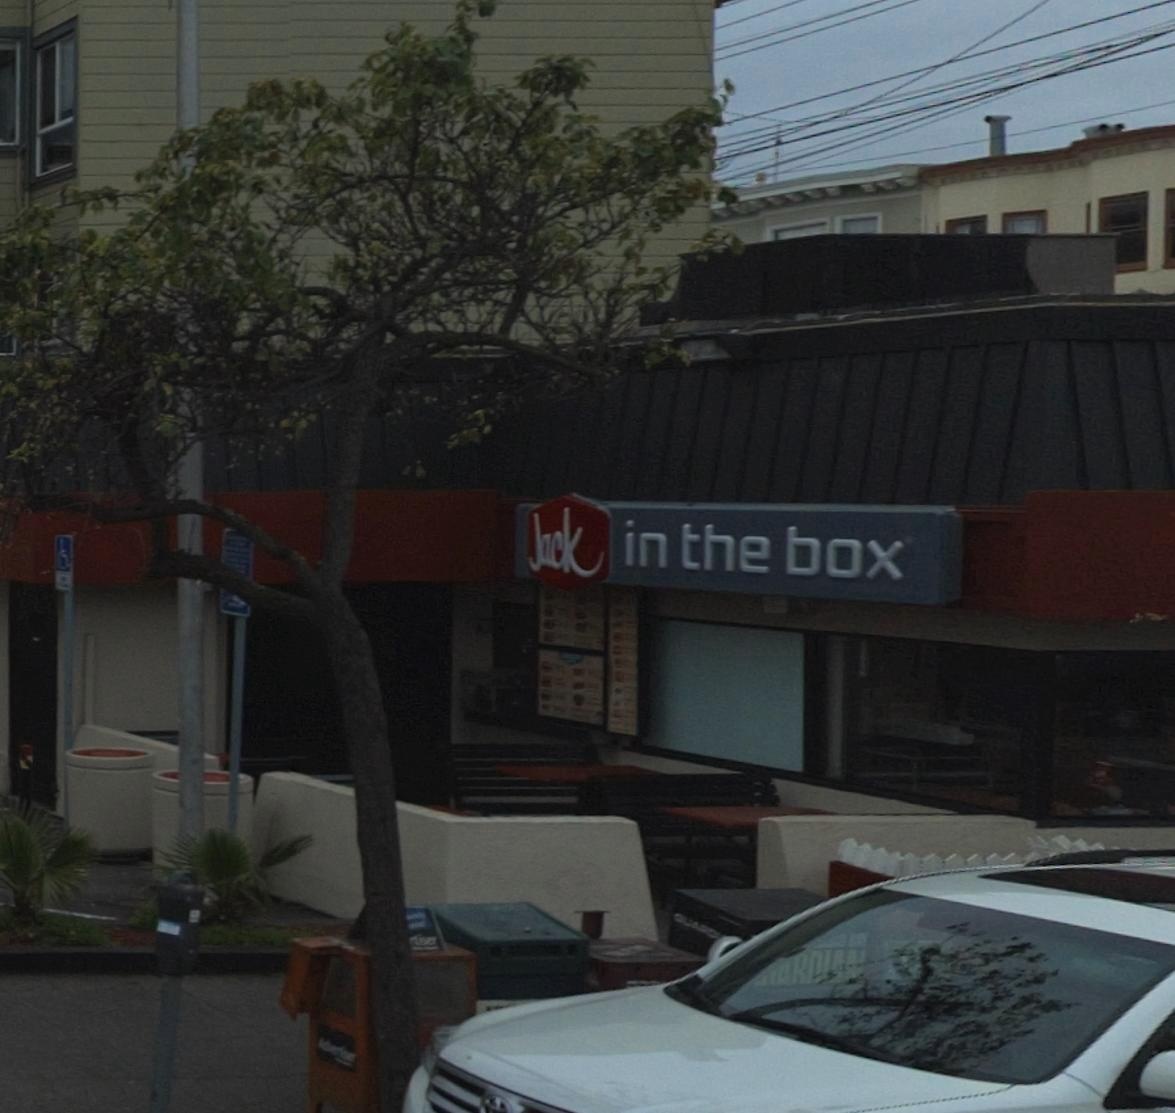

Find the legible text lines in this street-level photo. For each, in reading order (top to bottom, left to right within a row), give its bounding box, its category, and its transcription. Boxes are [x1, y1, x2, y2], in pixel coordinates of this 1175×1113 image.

[522, 503, 909, 587] BusinessName: Jack in the box
[789, 948, 810, 987] None: R